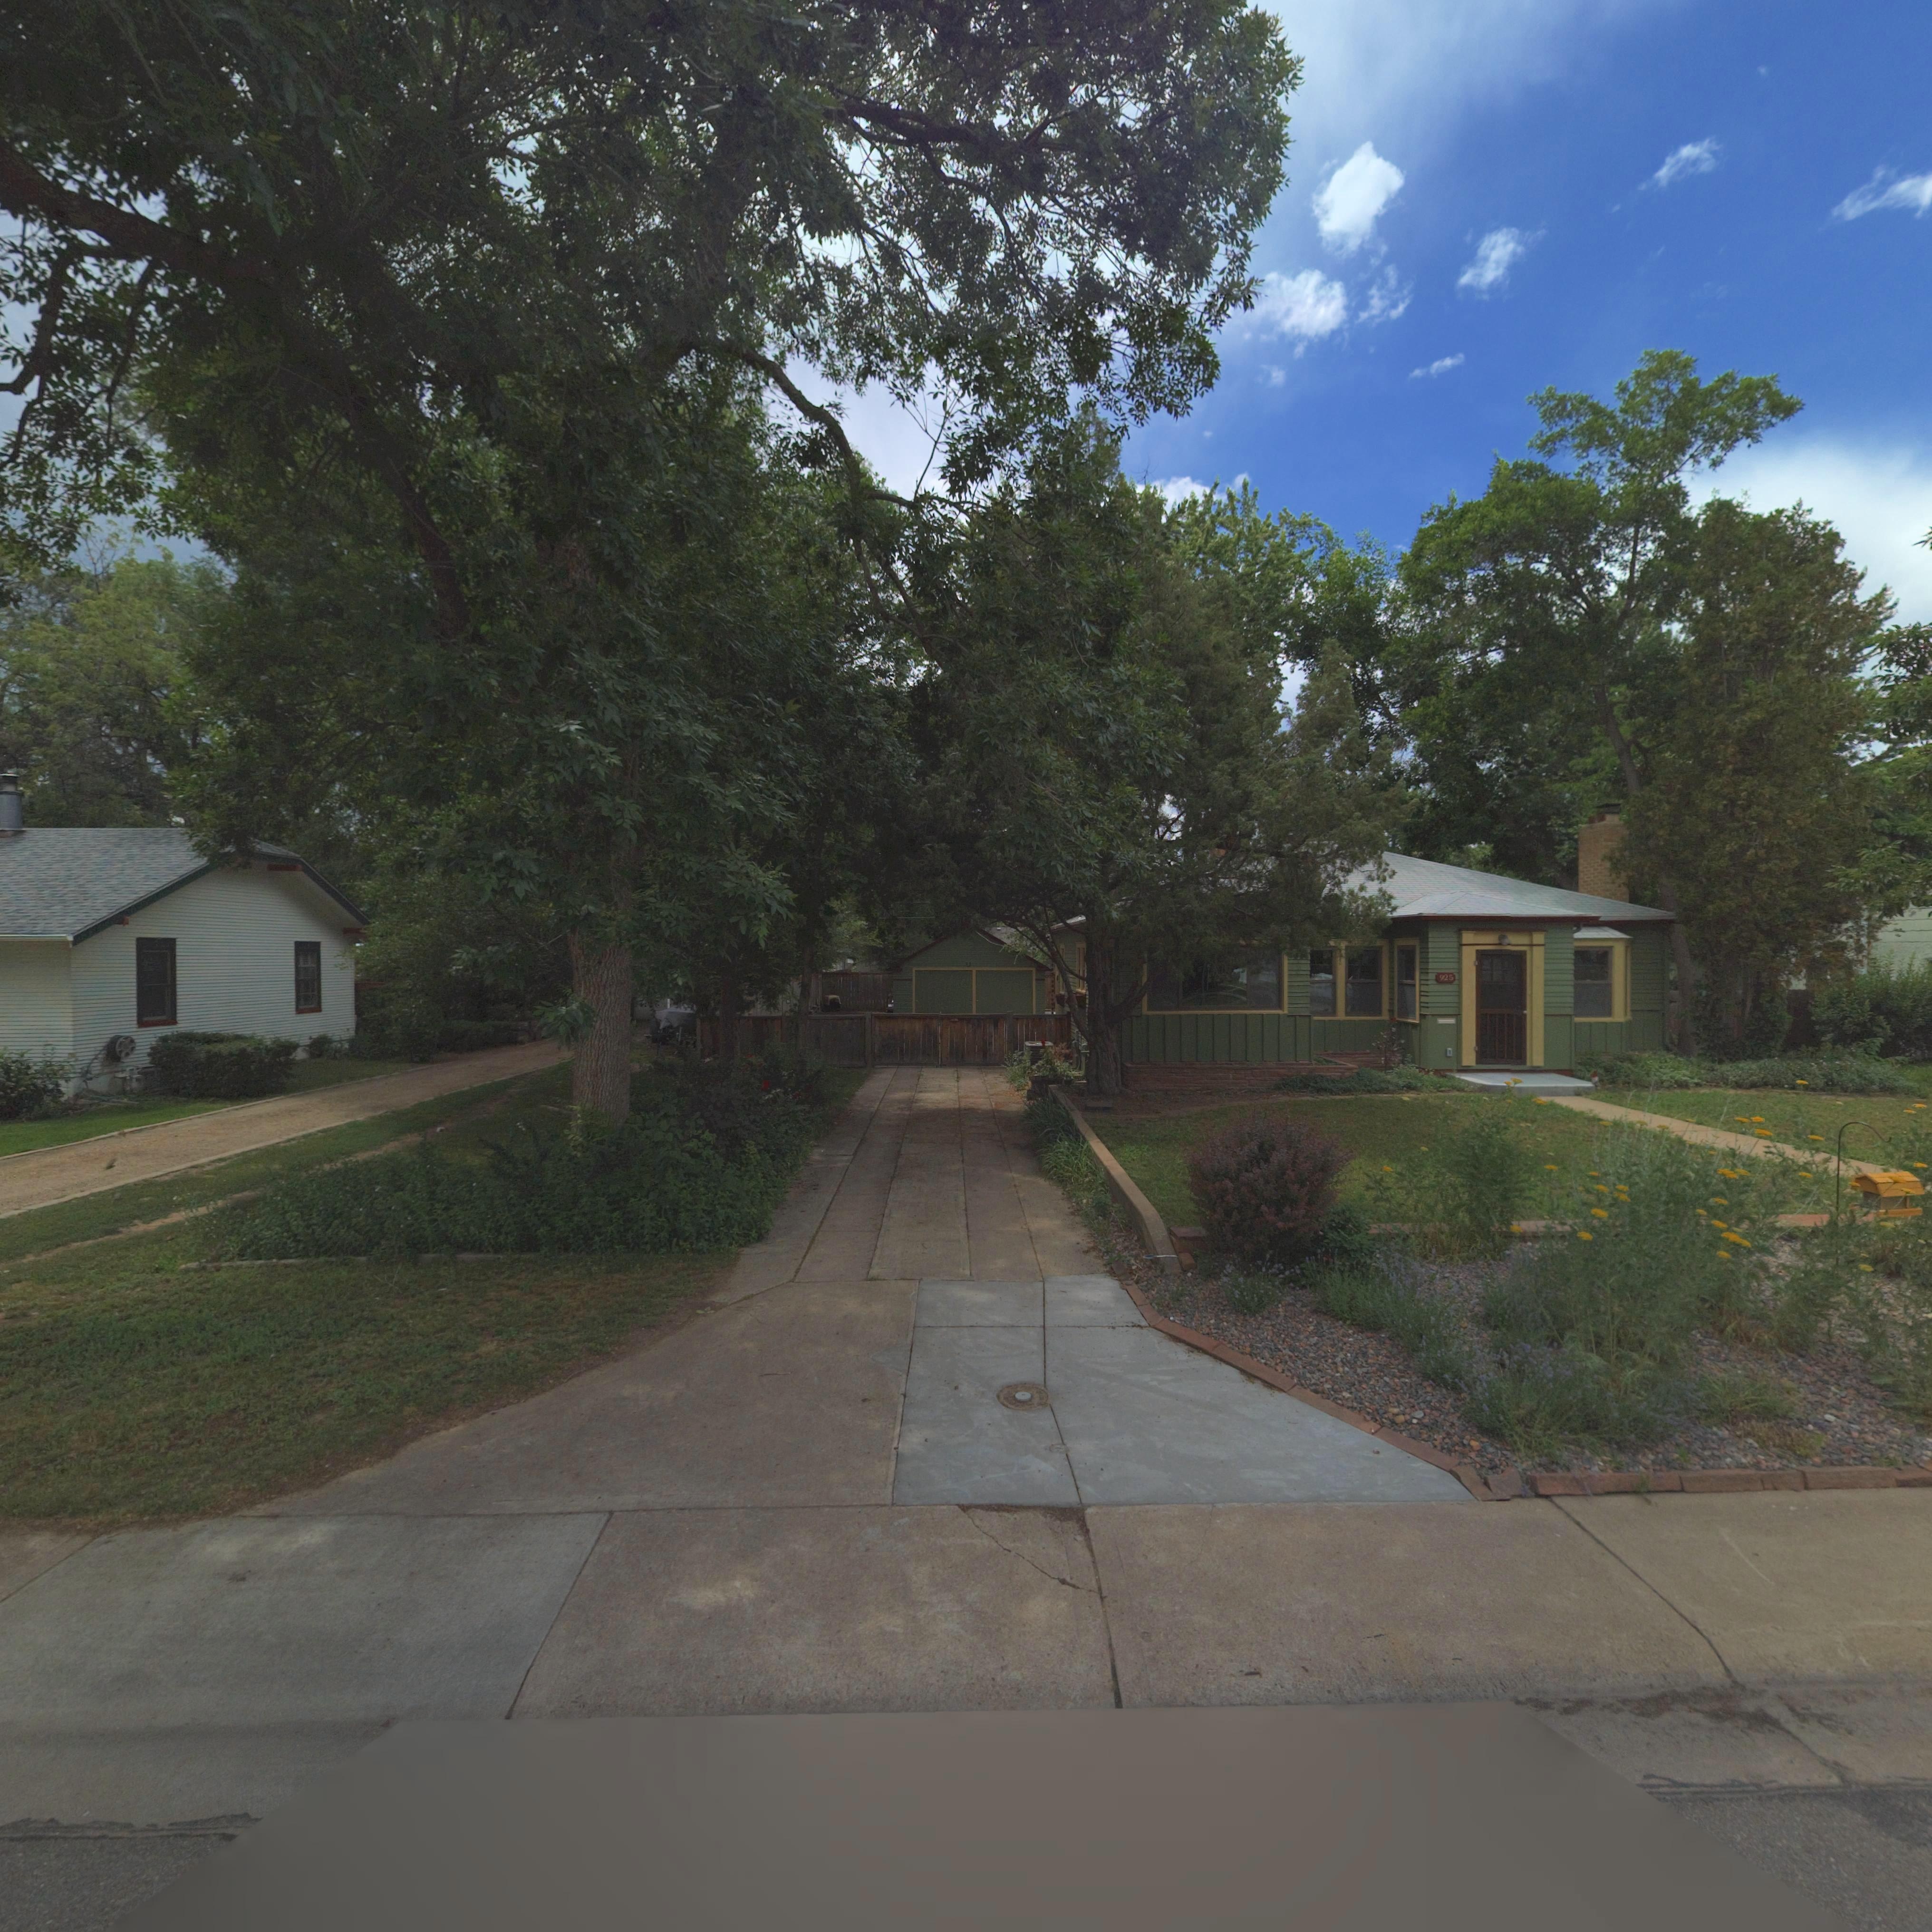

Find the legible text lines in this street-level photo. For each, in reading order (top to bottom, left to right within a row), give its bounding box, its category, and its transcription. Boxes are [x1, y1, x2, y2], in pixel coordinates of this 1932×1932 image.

[1439, 974, 1453, 981] StreetNumber: 925